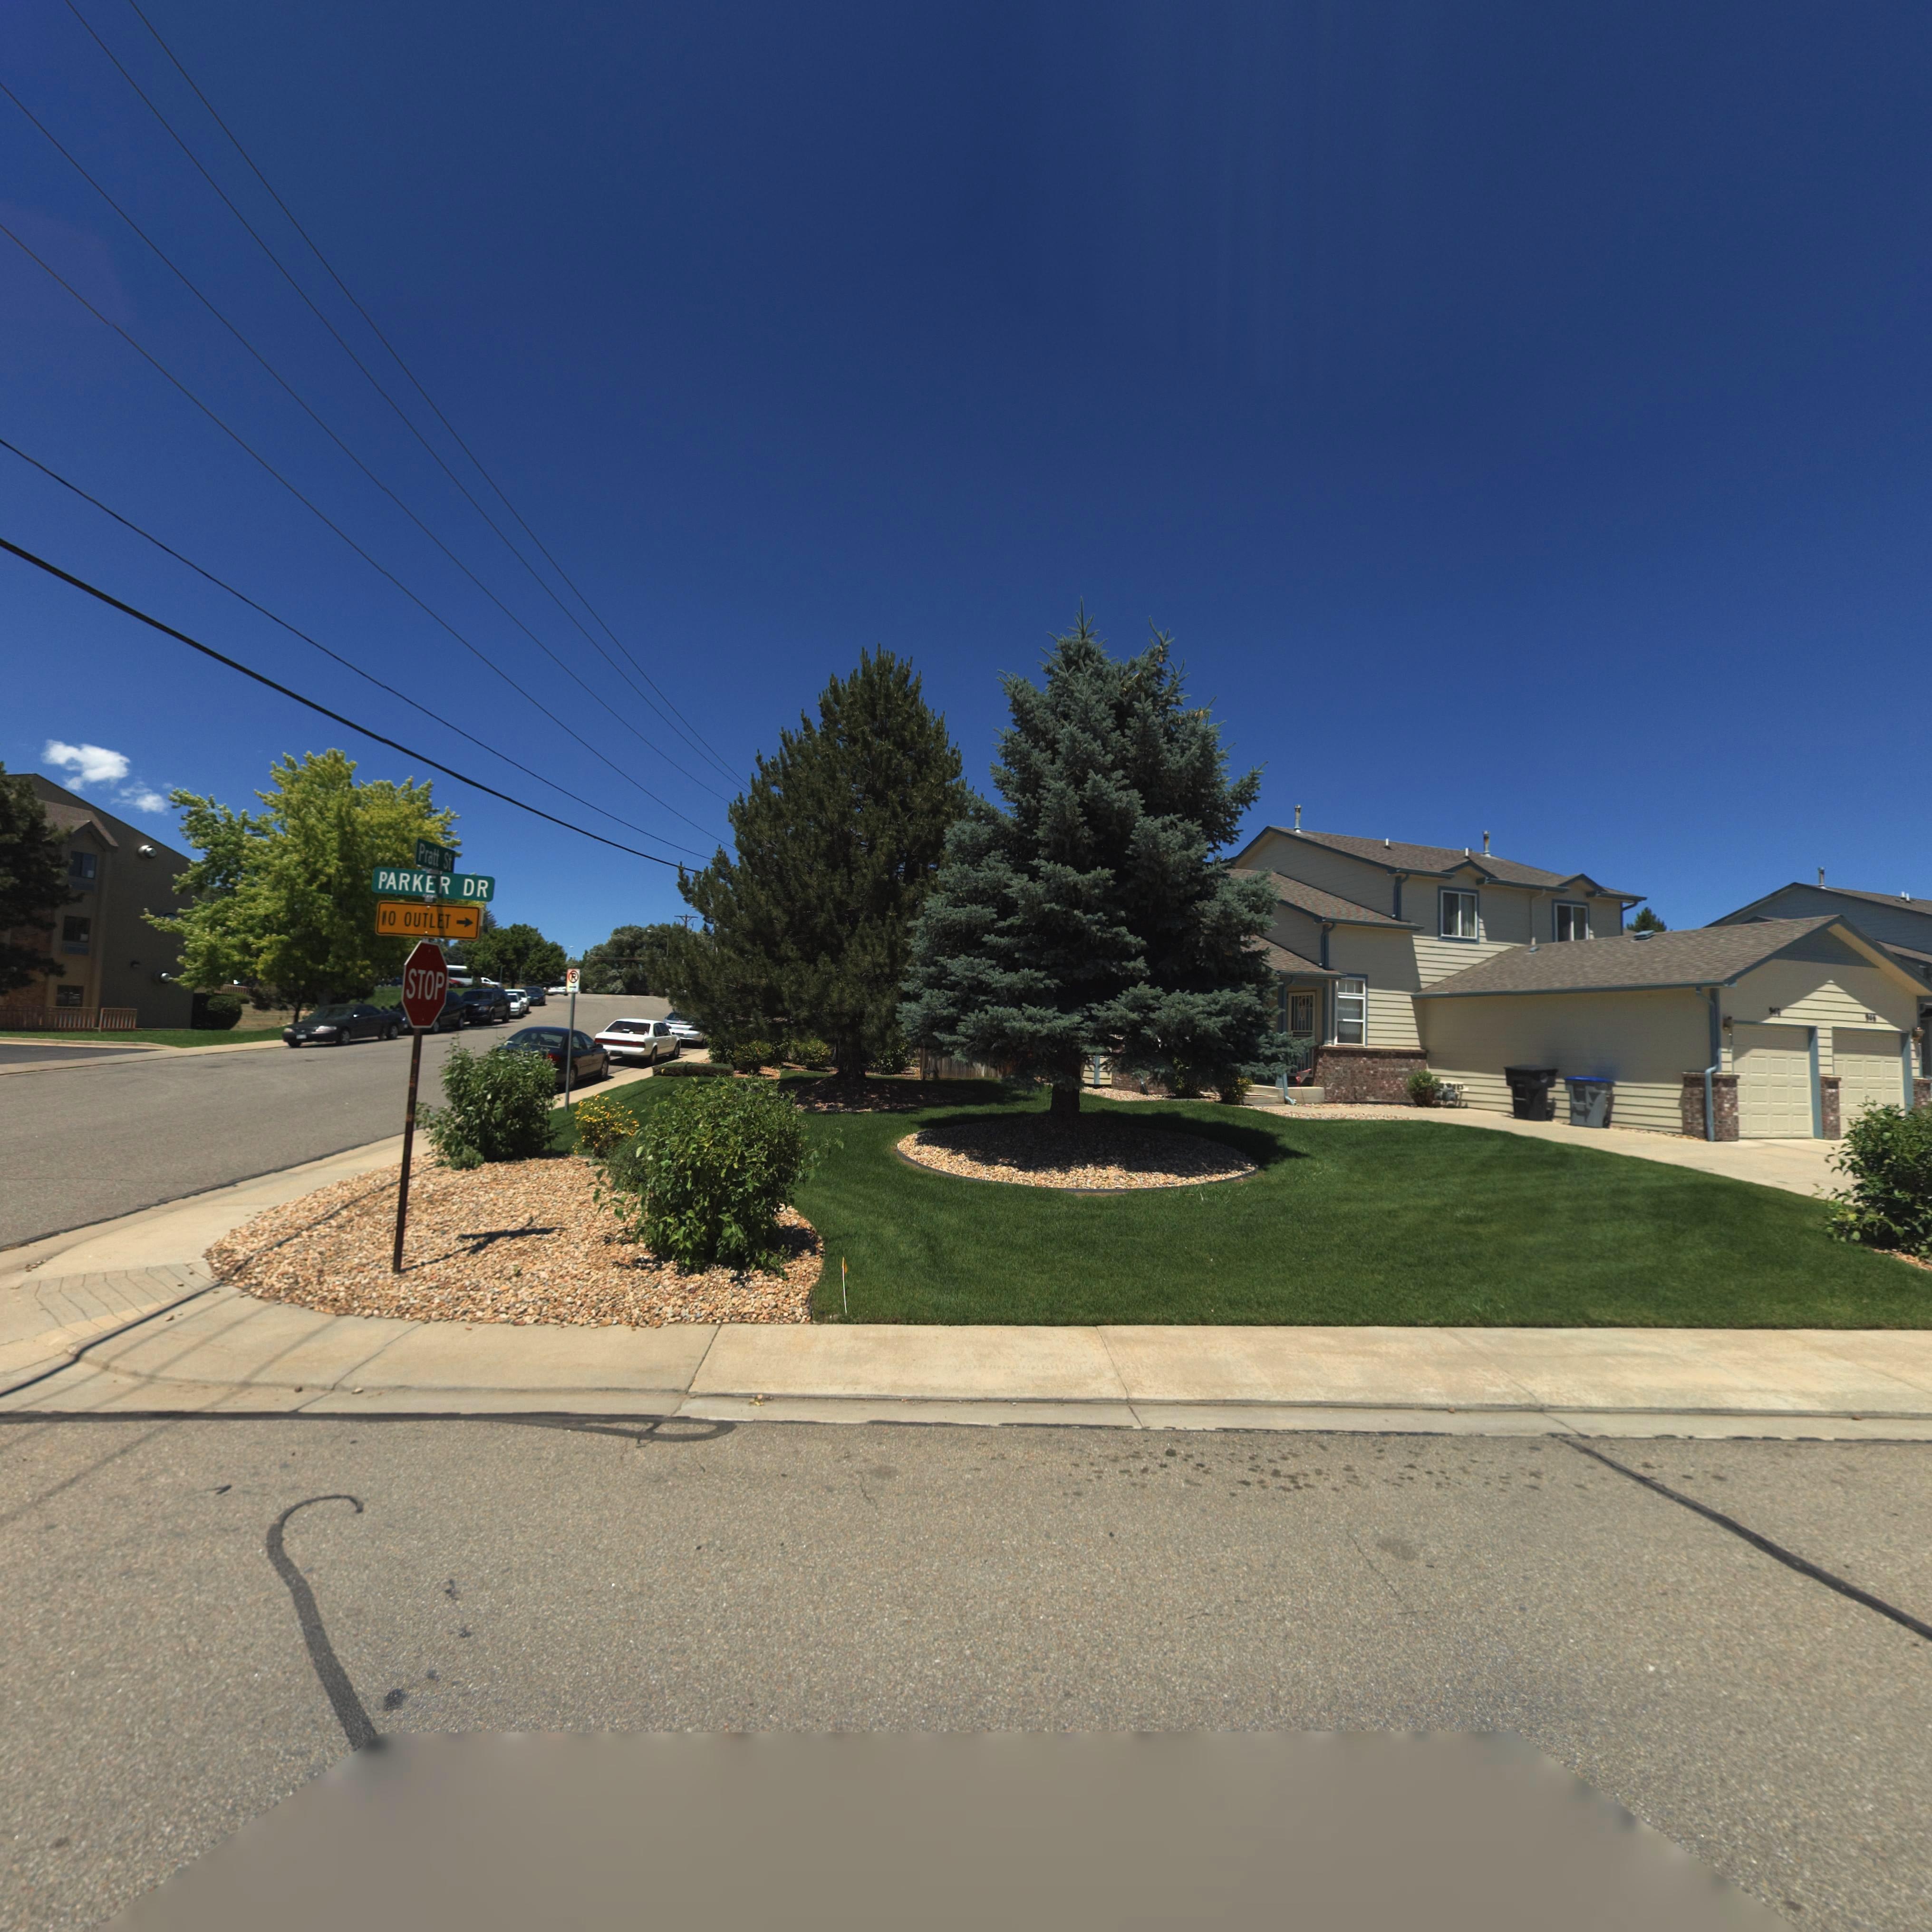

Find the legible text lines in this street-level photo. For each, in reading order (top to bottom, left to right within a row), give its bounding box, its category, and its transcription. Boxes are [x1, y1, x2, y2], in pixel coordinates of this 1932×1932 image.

[417, 841, 453, 871] StreetName: Pratt St
[377, 870, 489, 898] StreetName: PARKER DR
[1768, 1006, 1781, 1015] StreetNumber: 9**
[1864, 1012, 1877, 1022] StreetNumber: 9**